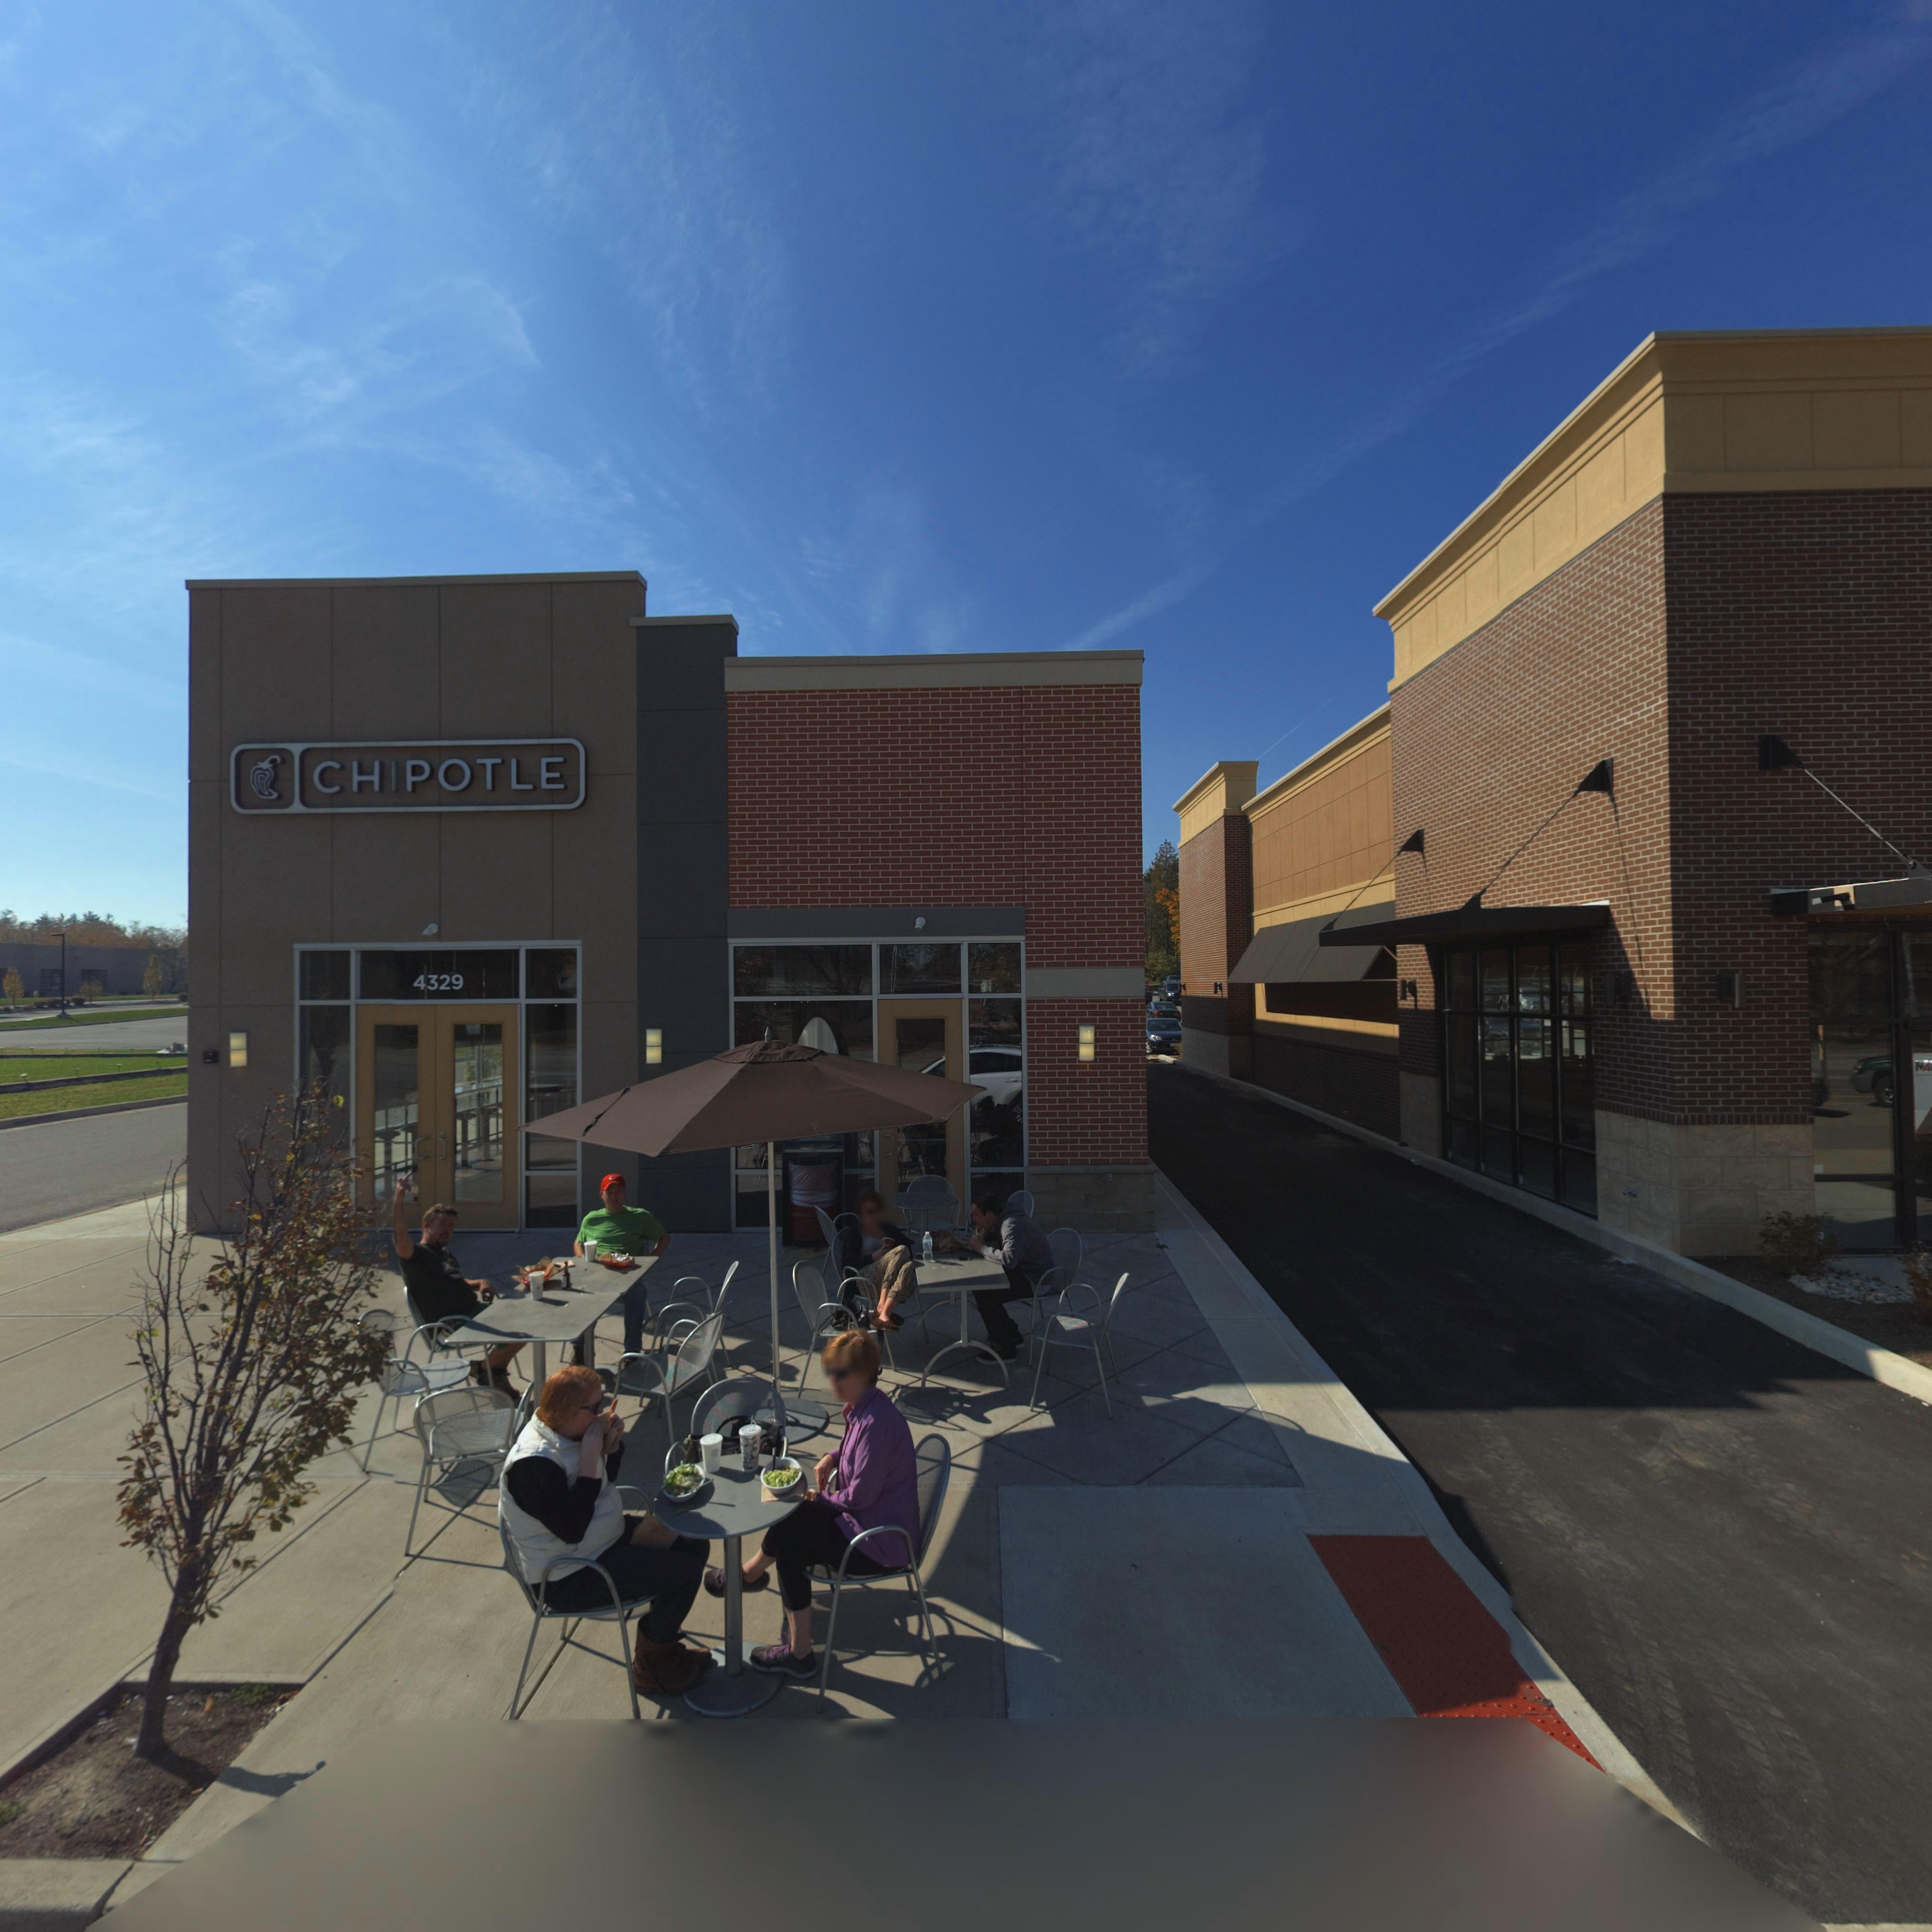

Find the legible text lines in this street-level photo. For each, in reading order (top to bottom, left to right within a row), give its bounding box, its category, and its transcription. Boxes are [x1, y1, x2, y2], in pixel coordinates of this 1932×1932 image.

[310, 755, 566, 795] BusinessName: CHIPOTLE
[412, 973, 465, 991] StreetNumber: 4329